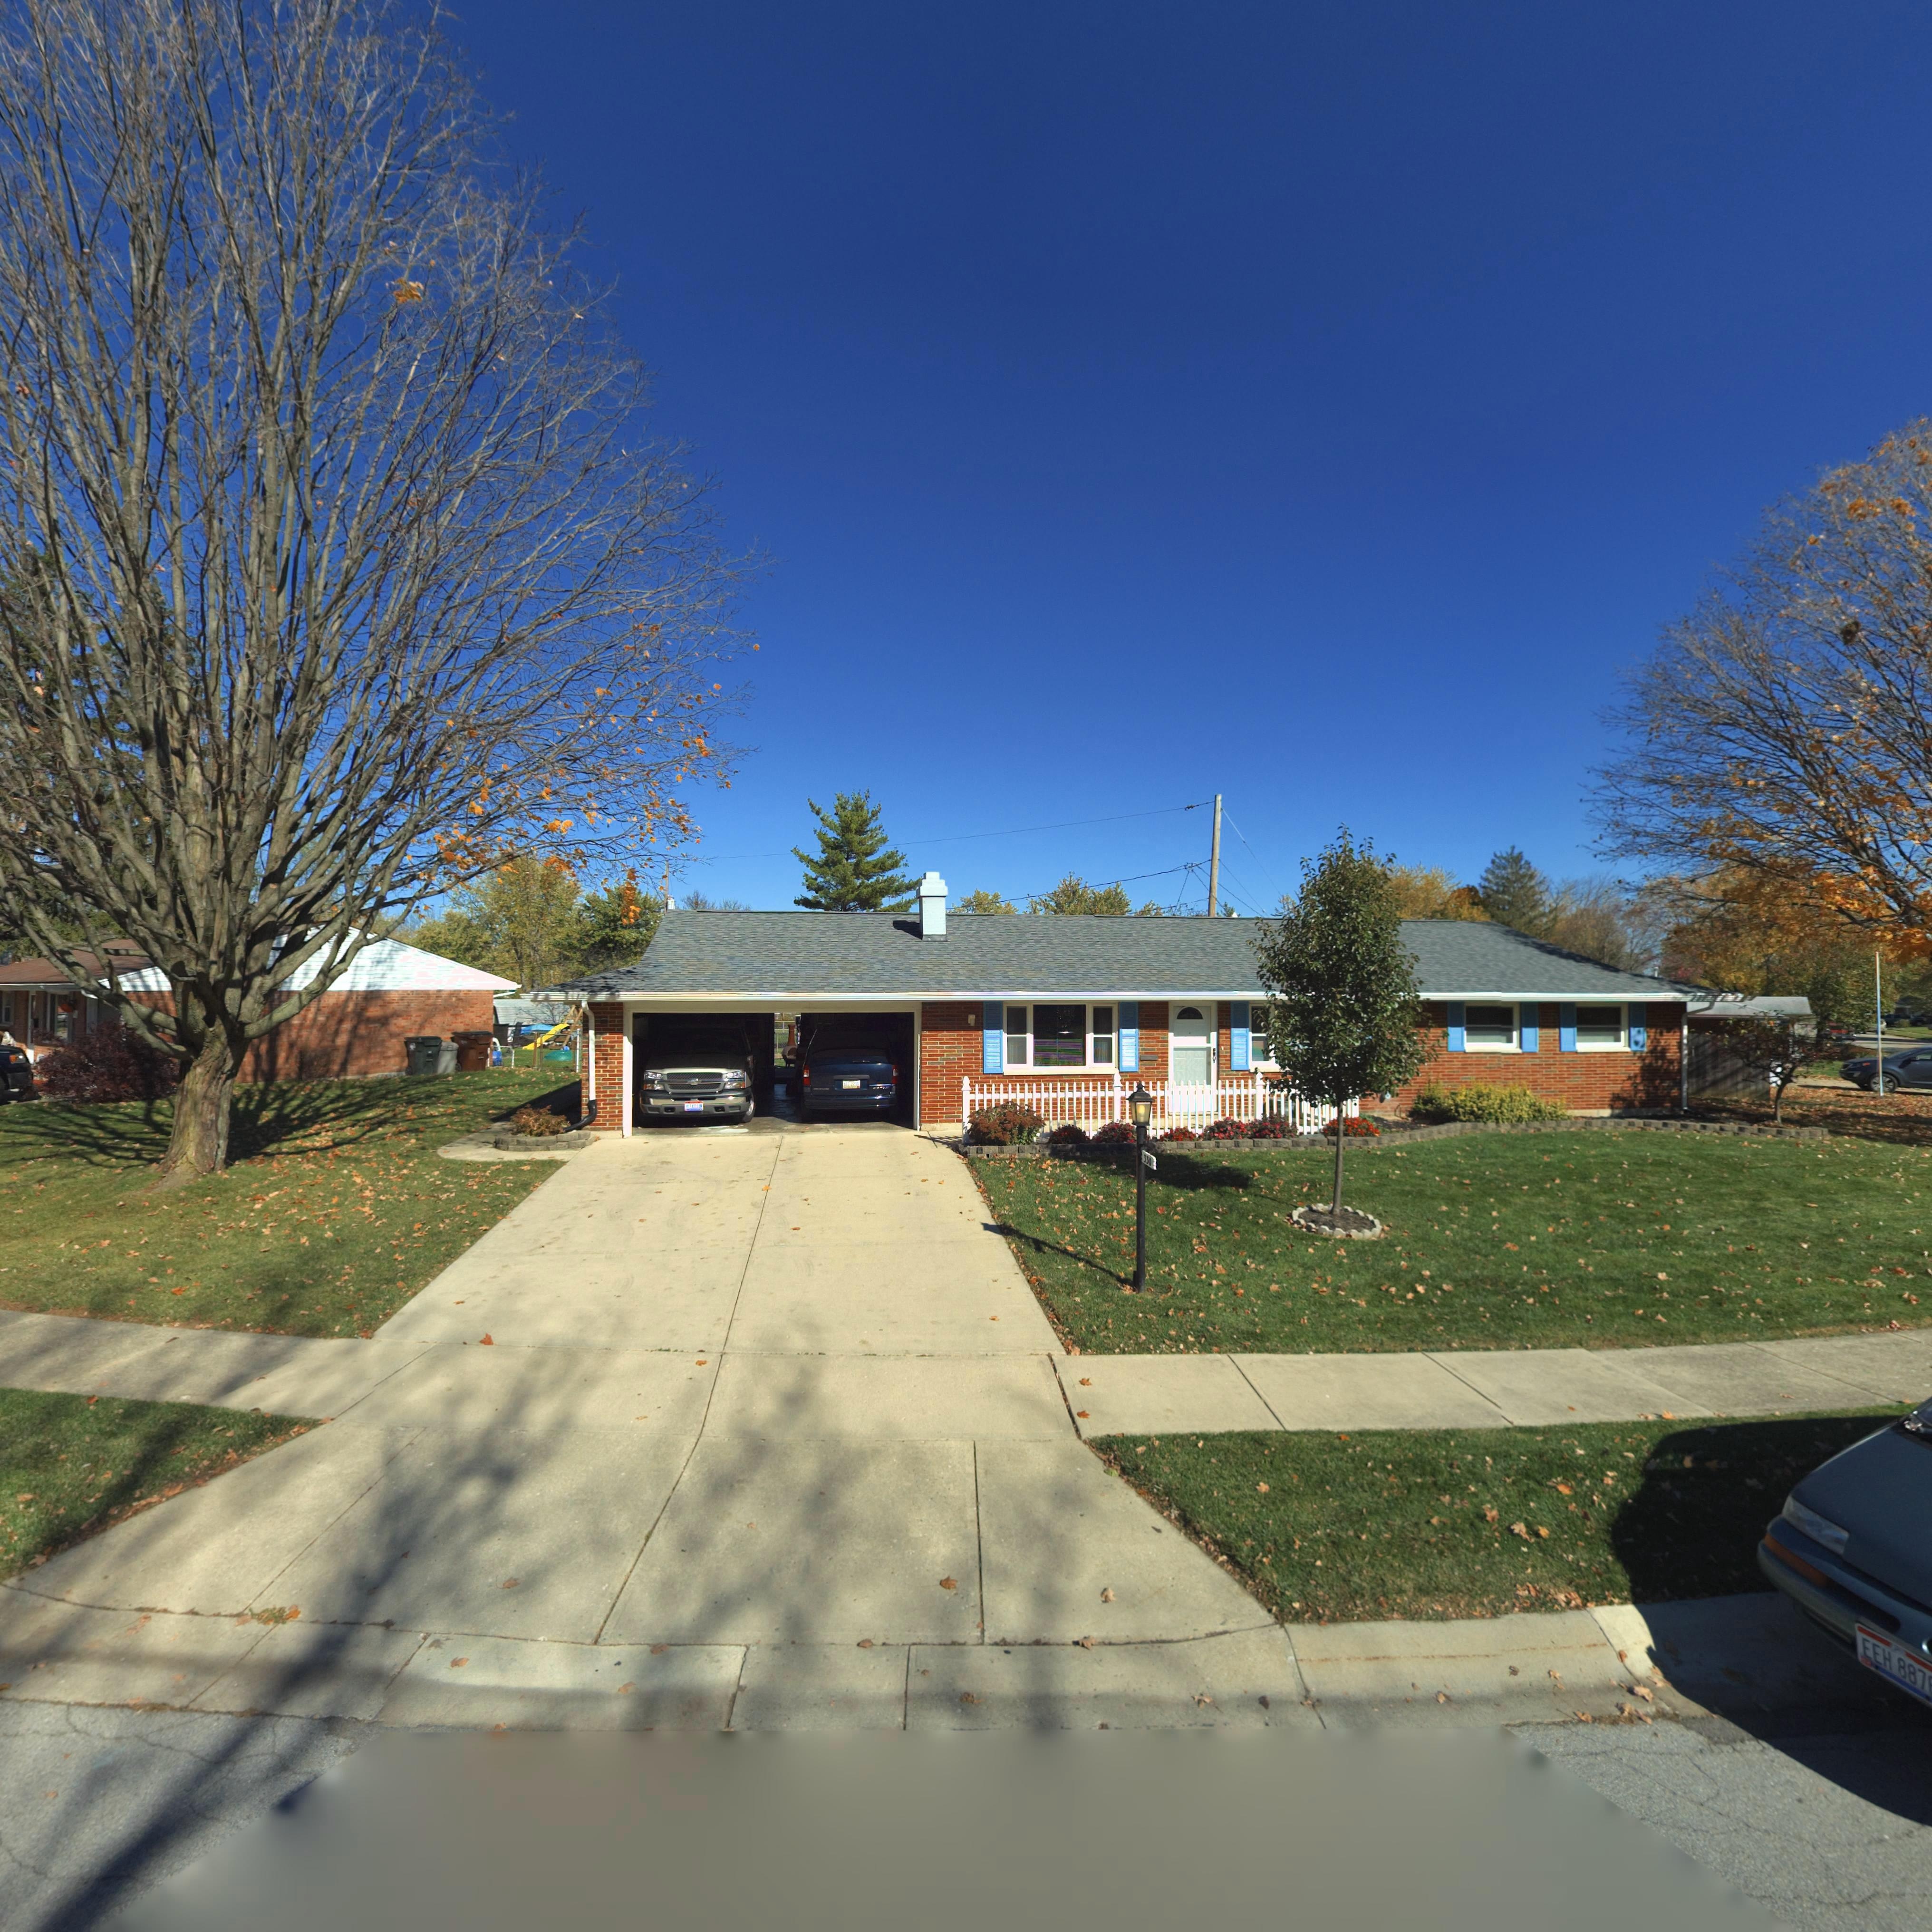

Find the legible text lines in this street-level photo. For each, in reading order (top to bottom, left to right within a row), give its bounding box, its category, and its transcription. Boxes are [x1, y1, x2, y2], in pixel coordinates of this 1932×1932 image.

[1143, 1153, 1152, 1169] StreetNumber: 330